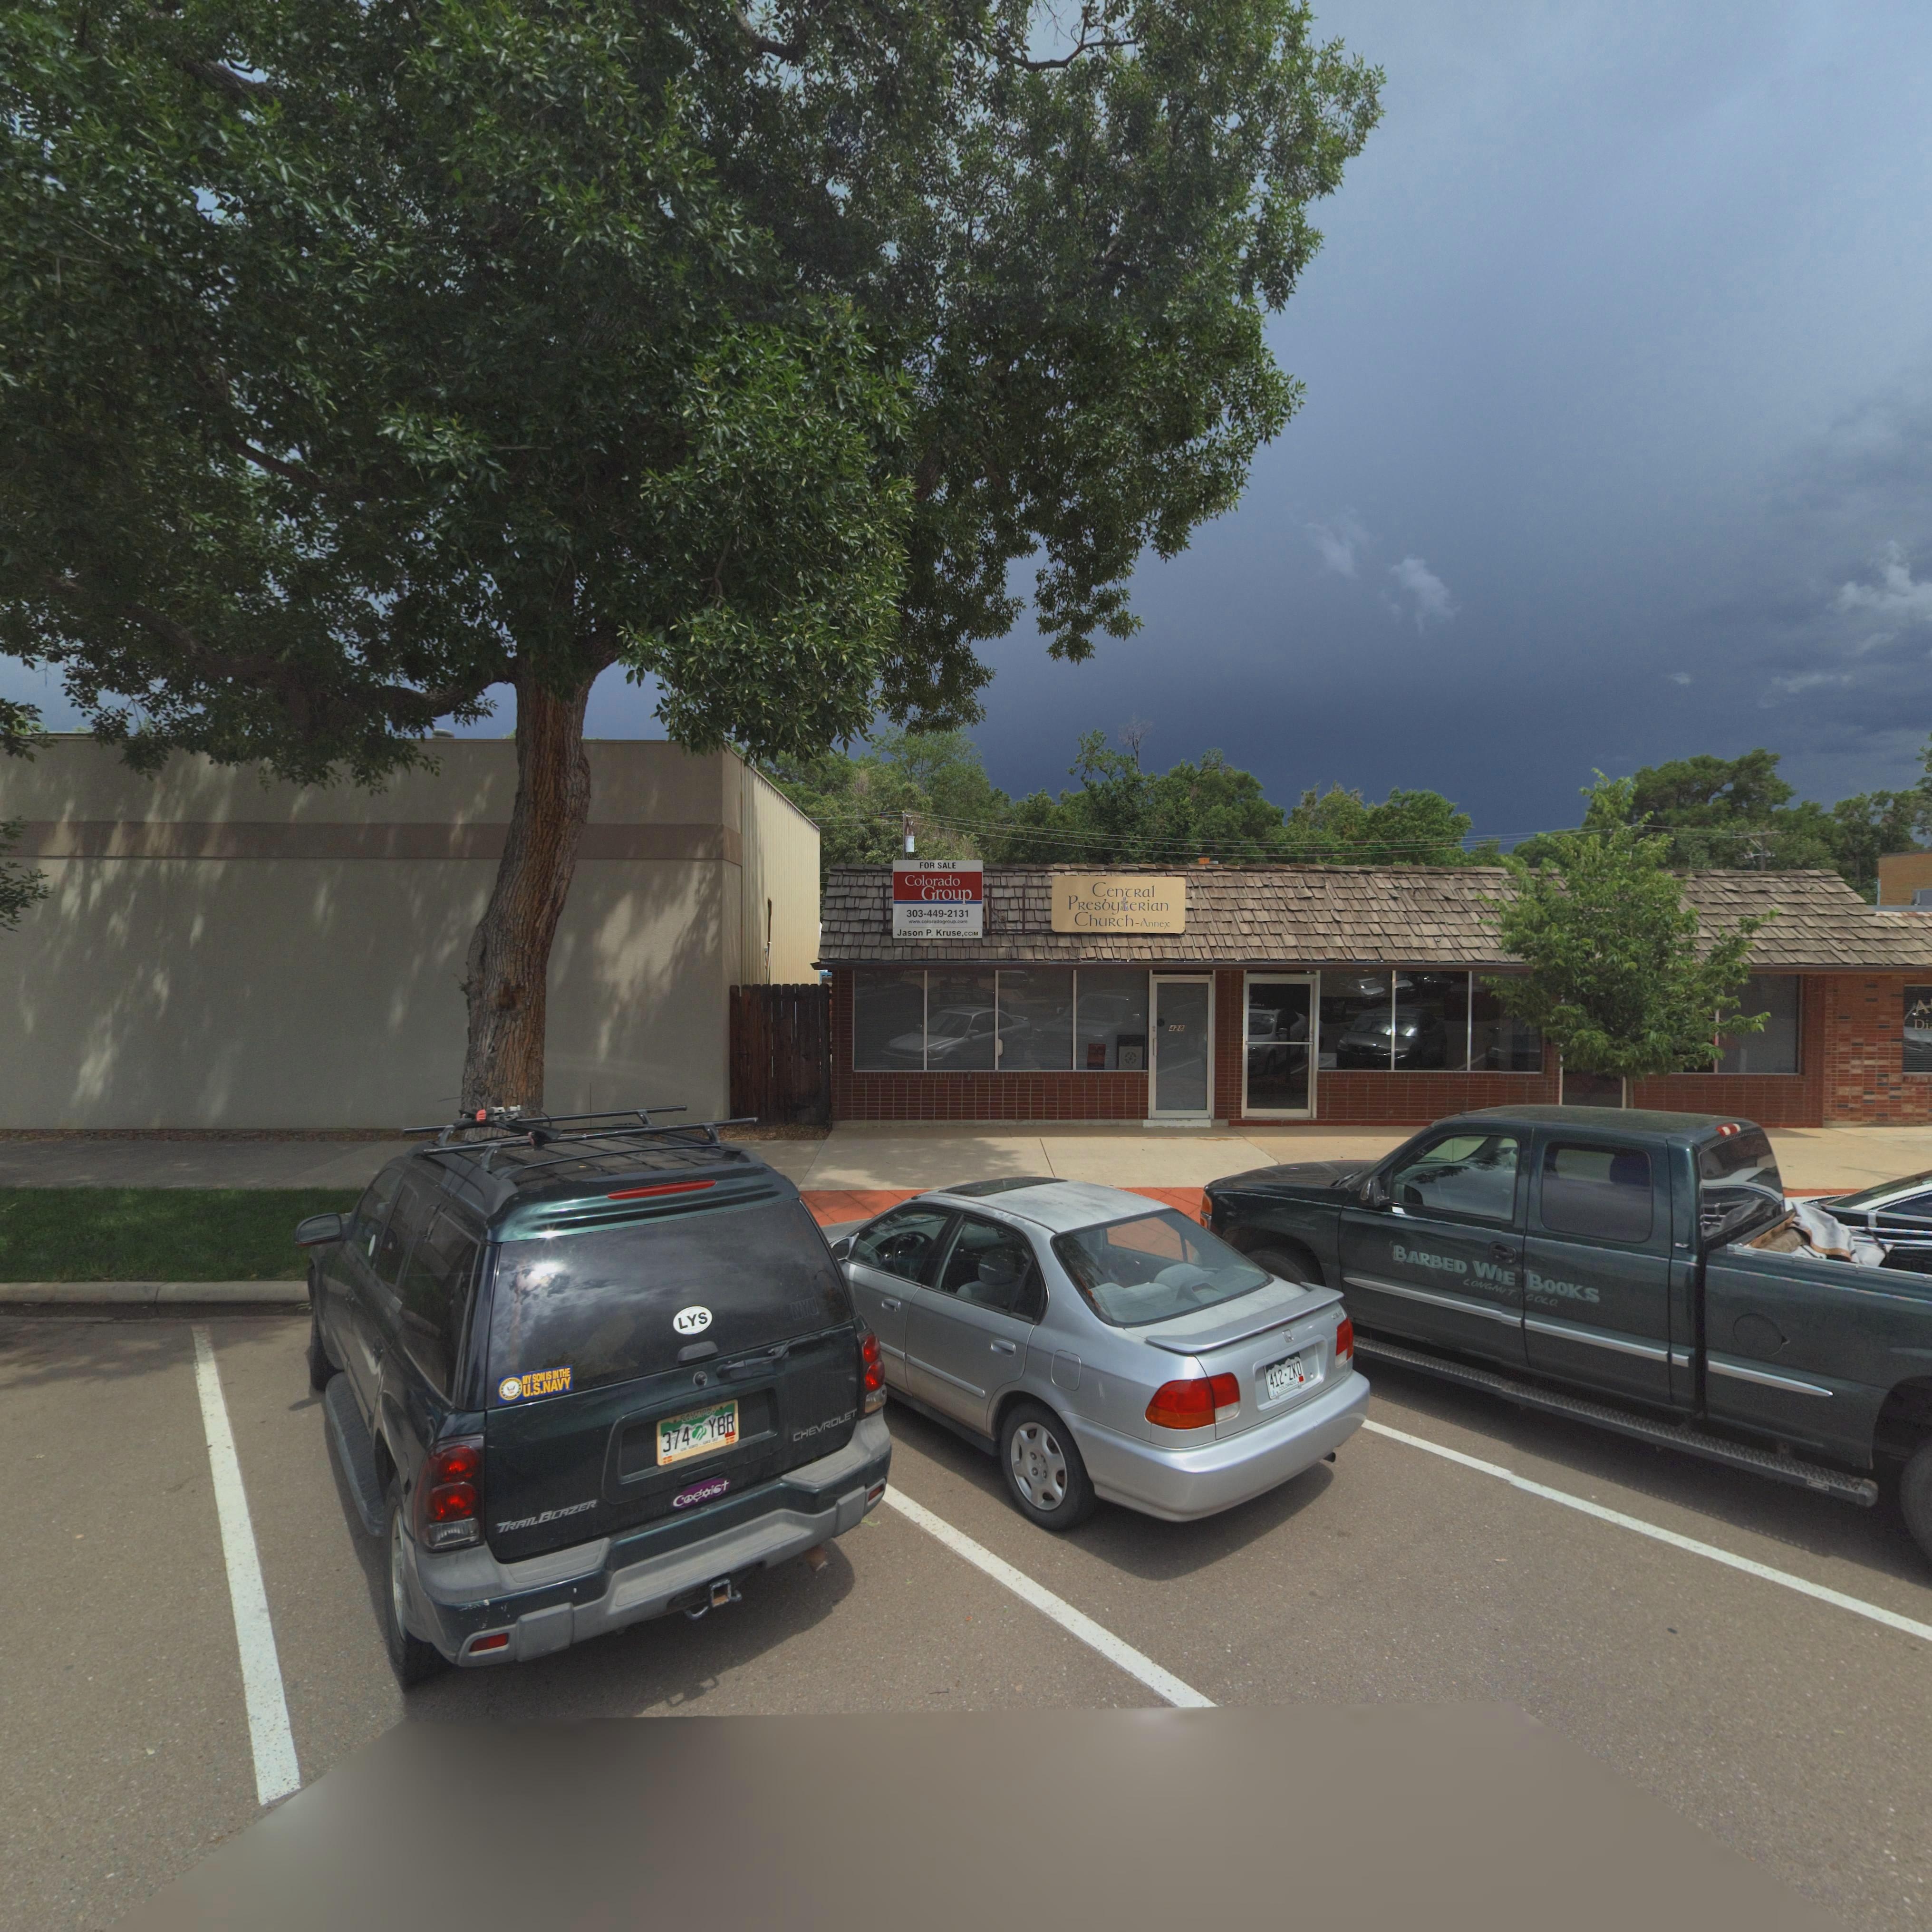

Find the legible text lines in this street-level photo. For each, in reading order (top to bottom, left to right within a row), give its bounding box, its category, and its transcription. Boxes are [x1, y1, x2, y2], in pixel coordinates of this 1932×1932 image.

[1914, 998, 1930, 1017] BusinessName: A
[1169, 1024, 1183, 1031] StreetNumber: 428
[1914, 1018, 1930, 1030] StreetNumber: Di